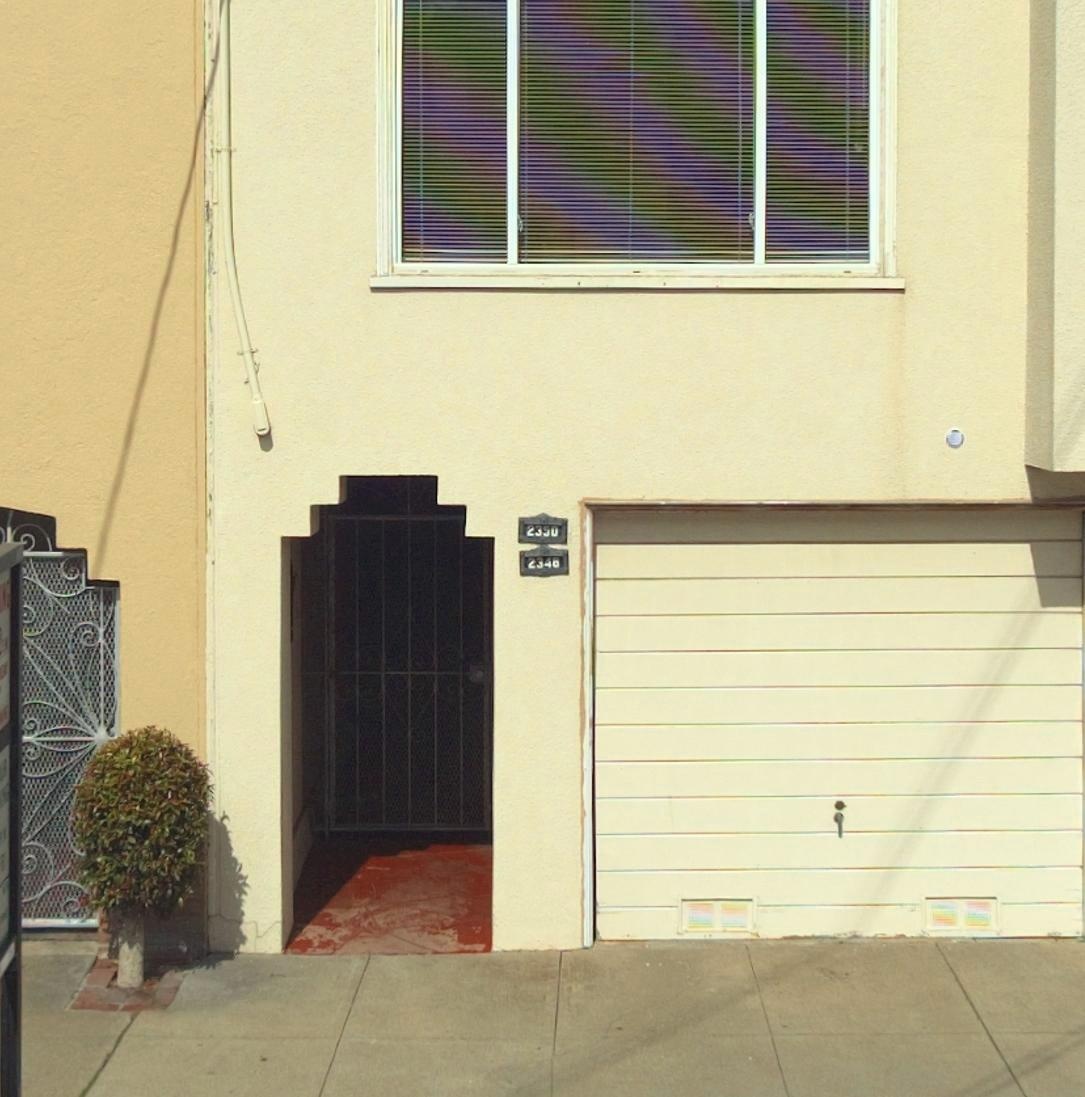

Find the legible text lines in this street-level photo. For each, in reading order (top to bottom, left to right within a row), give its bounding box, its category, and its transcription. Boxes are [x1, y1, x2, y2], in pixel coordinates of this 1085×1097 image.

[525, 523, 561, 540] StreetNumber: 2350
[526, 554, 562, 571] StreetNumber: 2348